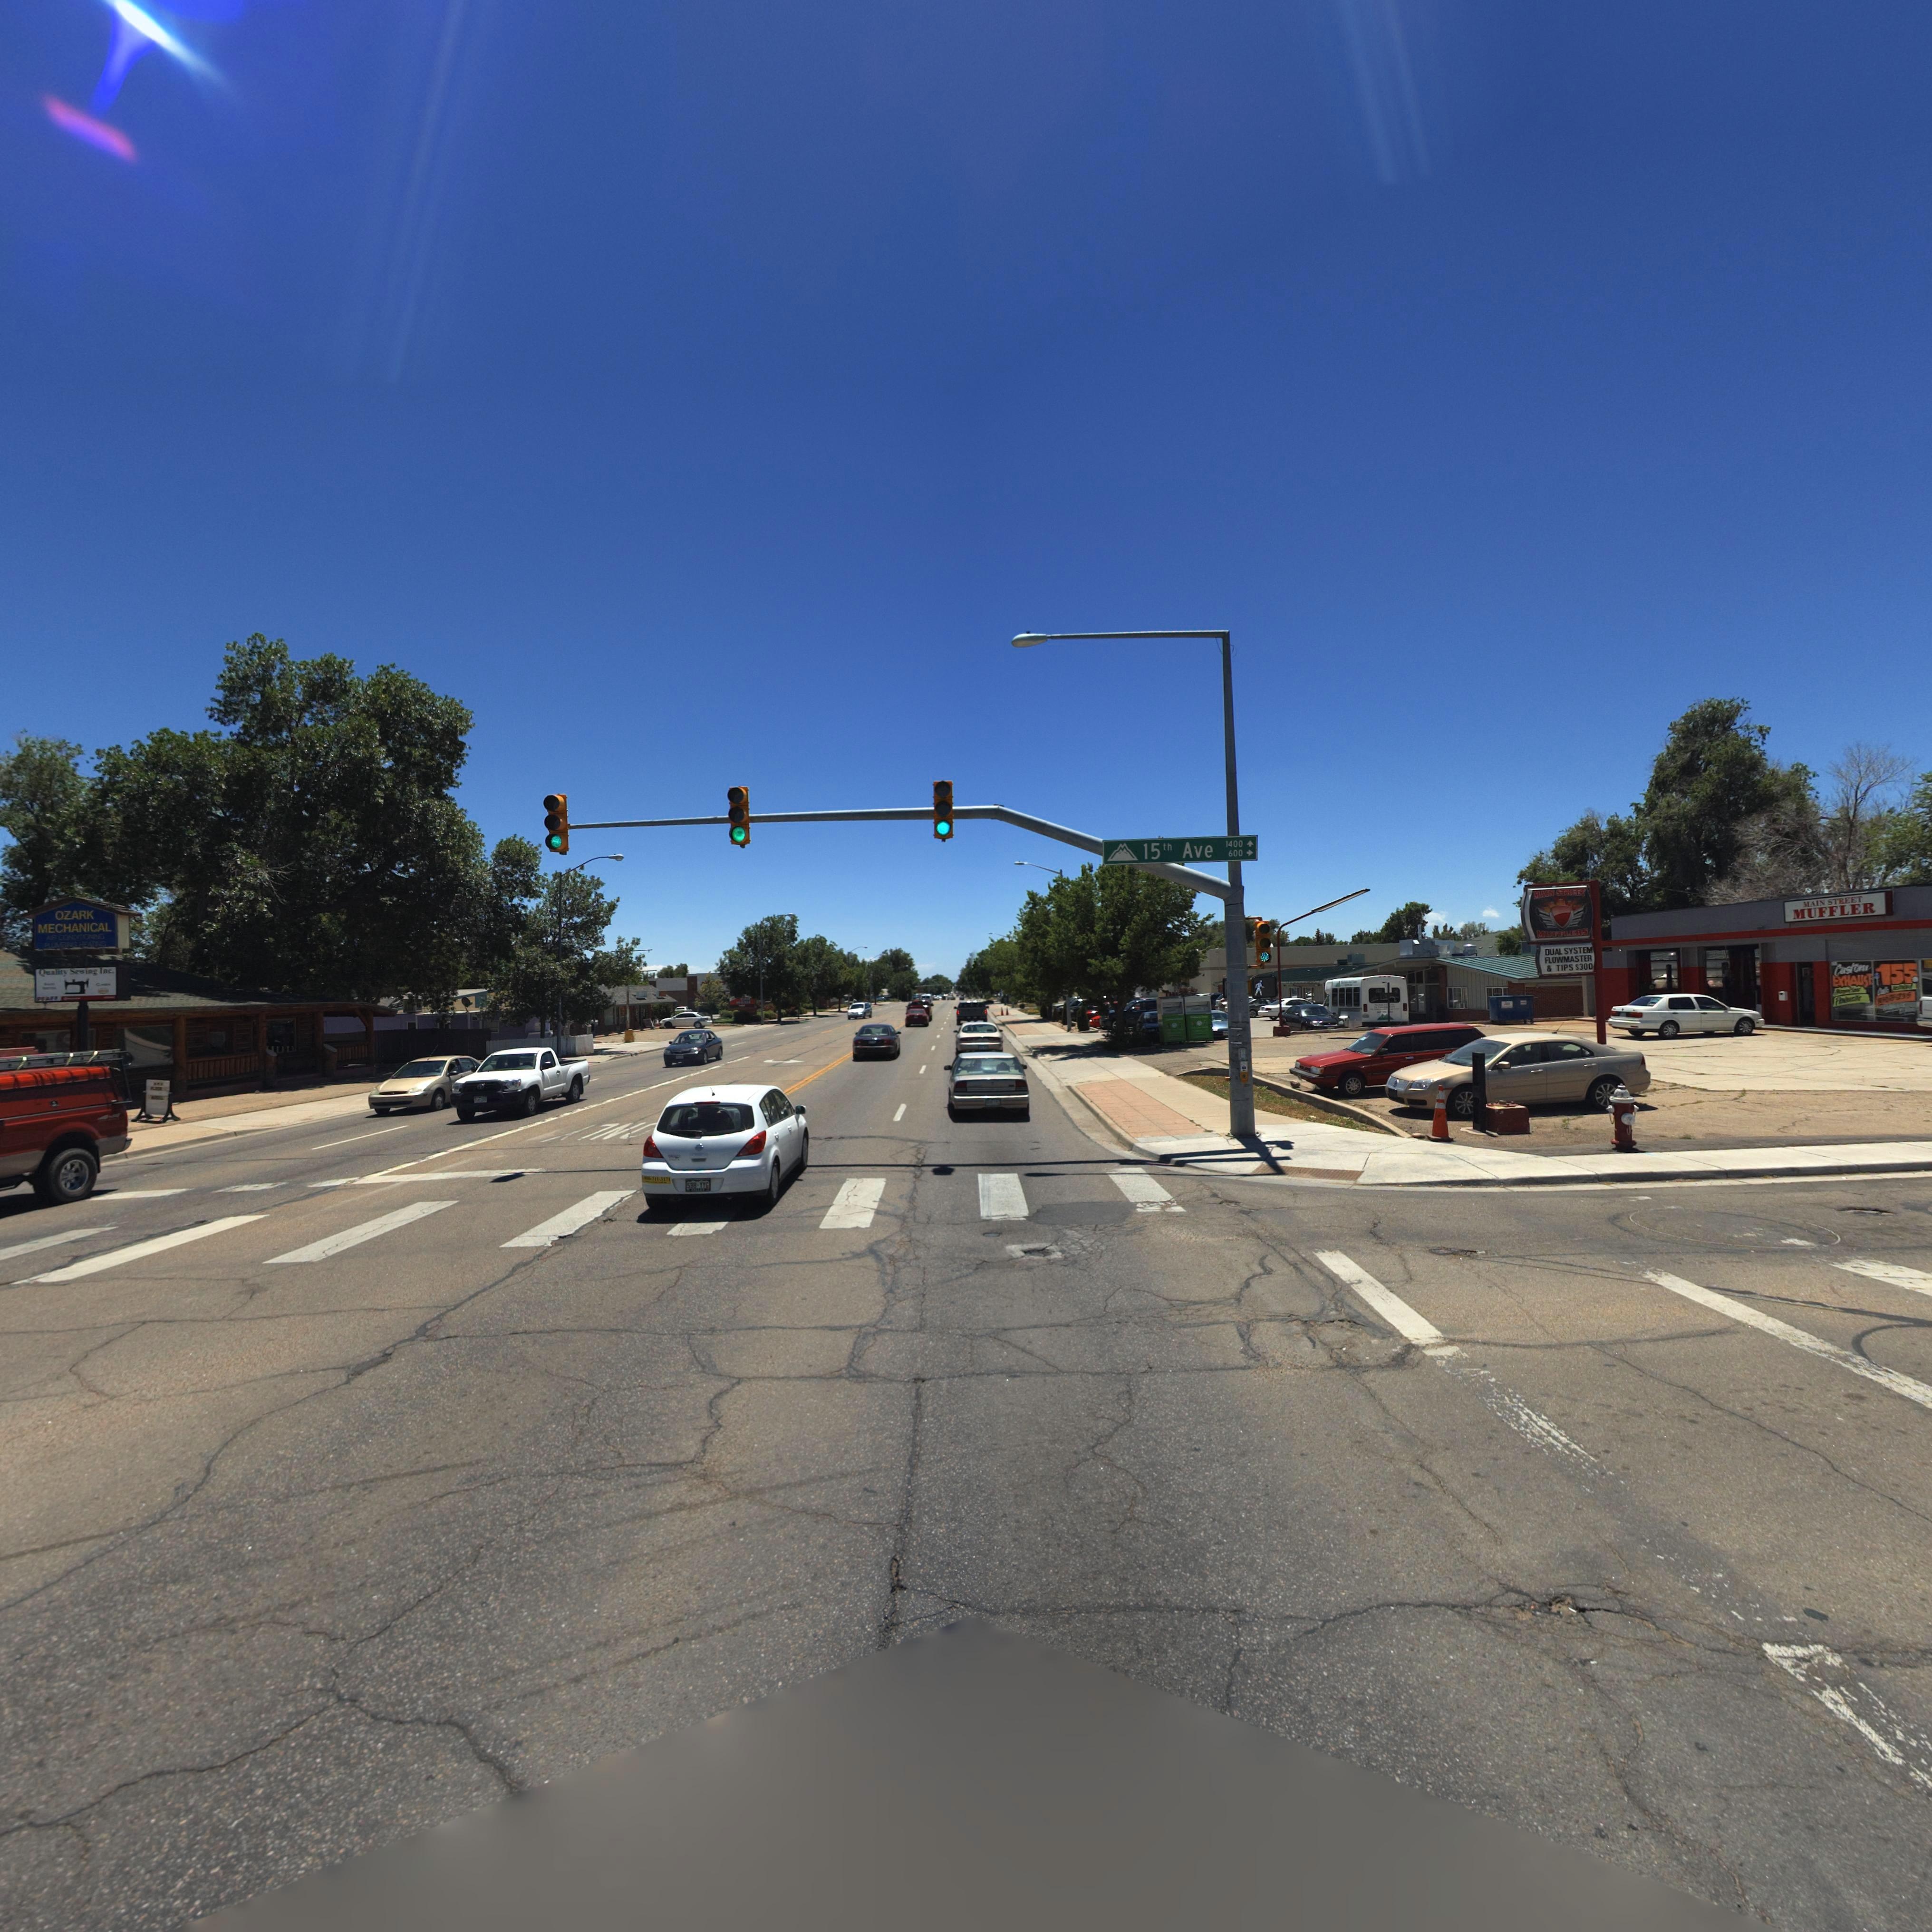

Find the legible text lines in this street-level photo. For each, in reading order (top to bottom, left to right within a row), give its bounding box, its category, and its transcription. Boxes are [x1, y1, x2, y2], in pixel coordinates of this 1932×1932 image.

[1225, 839, 1243, 848] StreetNumberRange: 1400
[1142, 841, 1214, 860] BusinessName: 15th Ave
[1227, 849, 1254, 857] StreetNumberRange: 600->
[1532, 888, 1586, 900] BusinessName: MAIN STREET
[1803, 896, 1862, 907] BusinessName: MAIN STREET
[54, 909, 95, 921] BusinessName: OZARK
[1792, 902, 1876, 919] BusinessName: MUFFLER
[38, 922, 113, 934] BusinessName: MECHANICAL
[1536, 927, 1588, 937] BusinessName: MUFFLERS
[38, 966, 115, 977] BusinessName: Quality Sewing Inc.